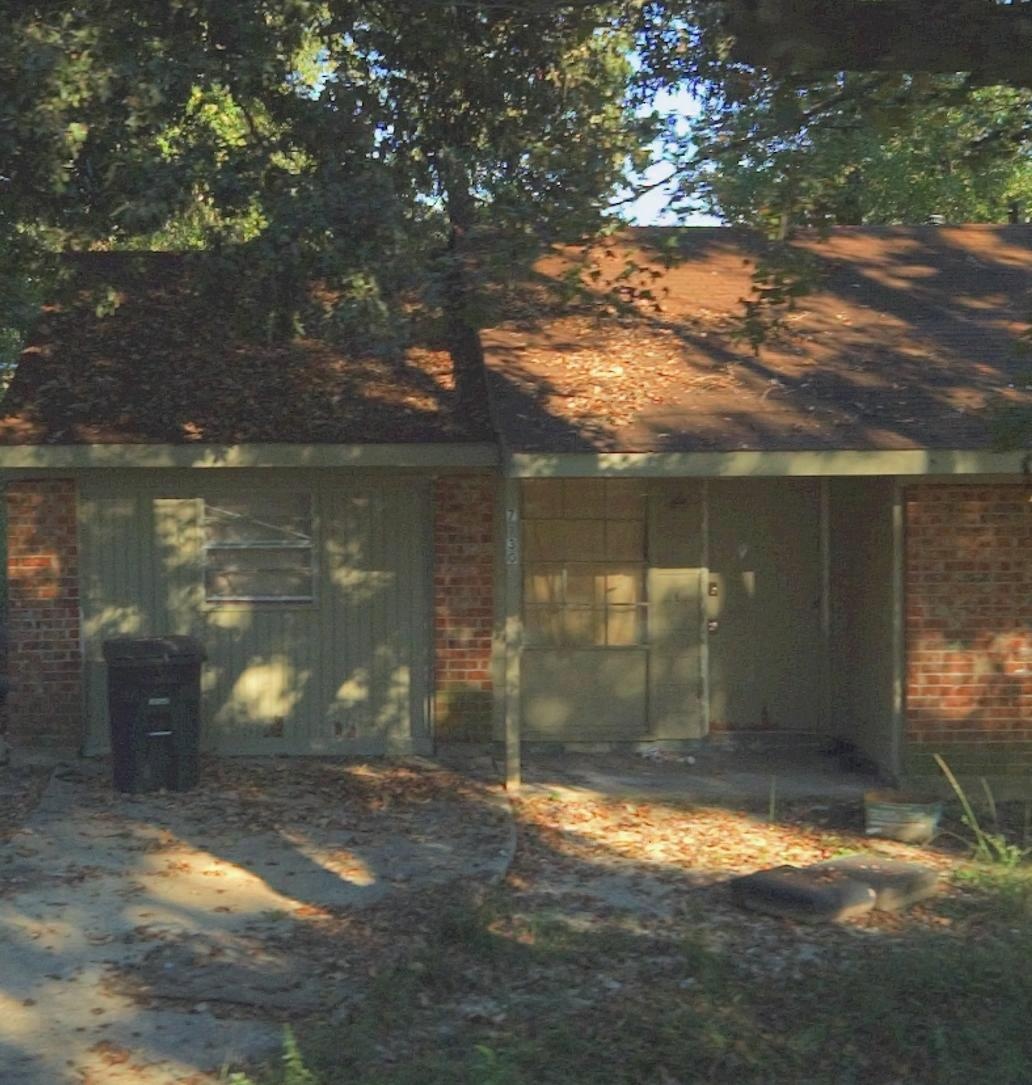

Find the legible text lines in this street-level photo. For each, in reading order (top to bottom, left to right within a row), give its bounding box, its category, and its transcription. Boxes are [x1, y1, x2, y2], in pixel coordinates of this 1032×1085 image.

[506, 507, 518, 564] StreetNumber: 7730